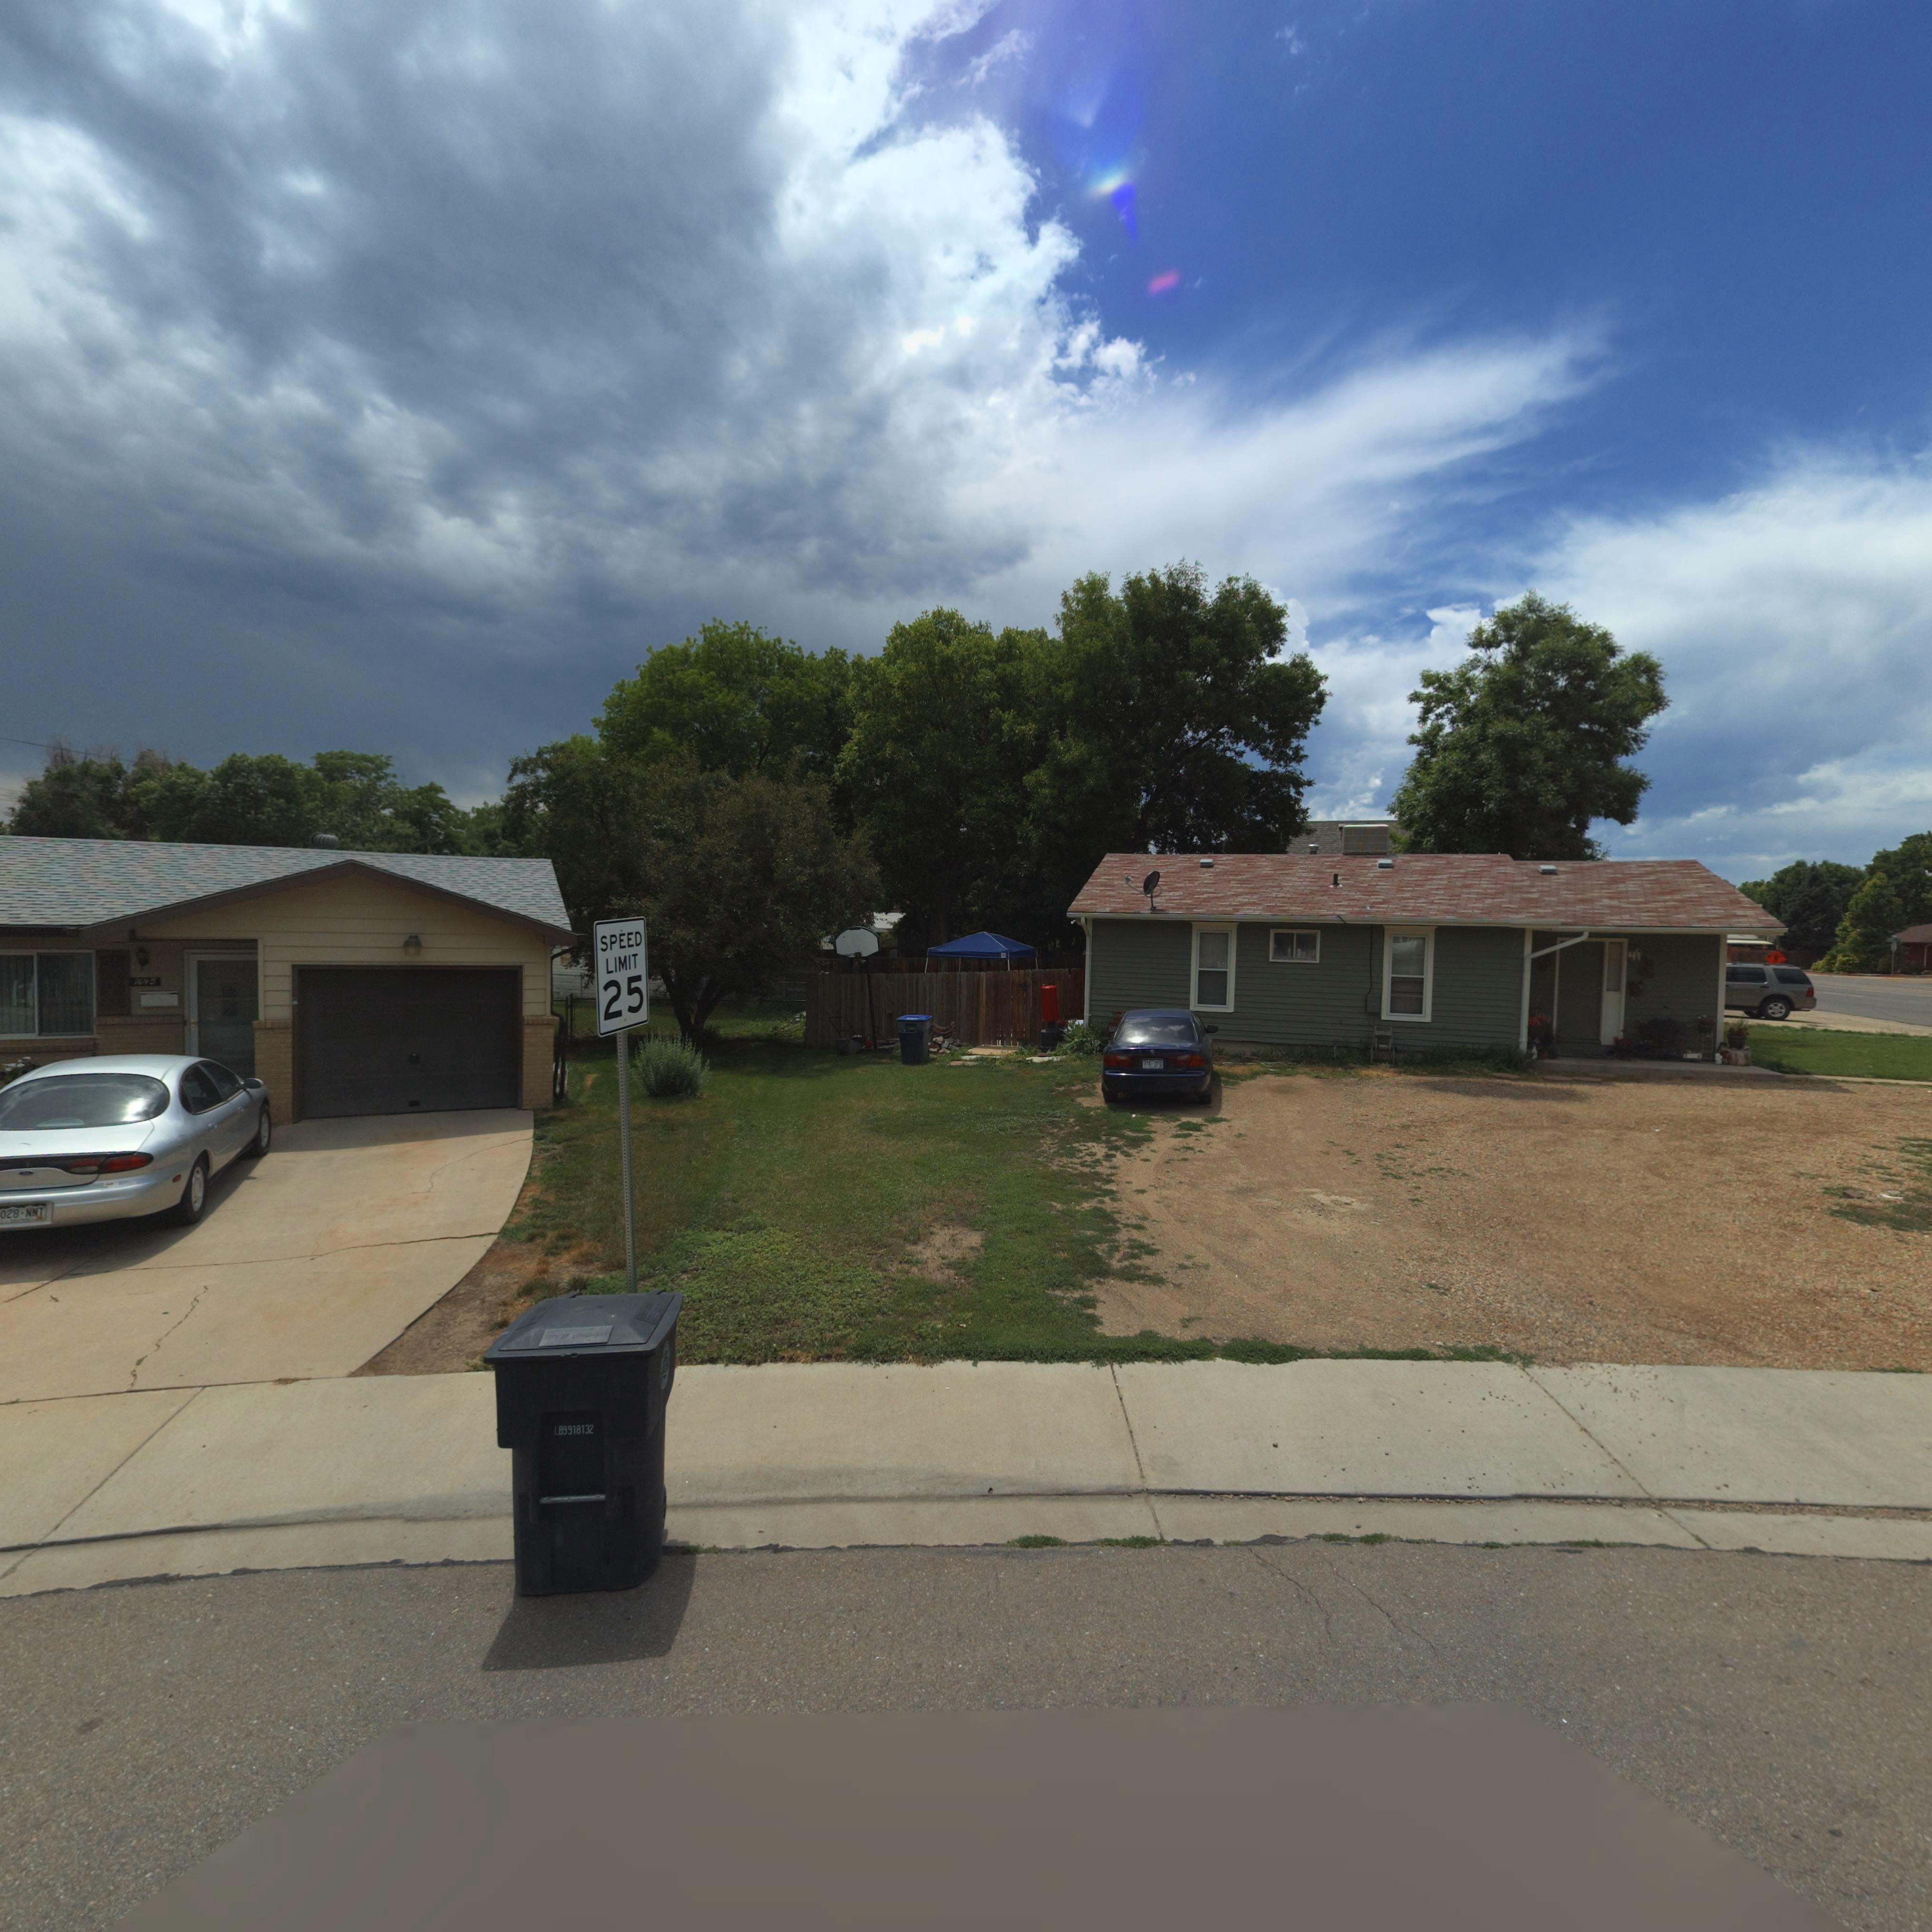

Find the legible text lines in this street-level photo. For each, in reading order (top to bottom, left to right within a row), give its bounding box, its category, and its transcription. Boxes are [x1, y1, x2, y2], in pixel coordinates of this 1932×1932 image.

[133, 977, 157, 985] StreetNumber: 1645